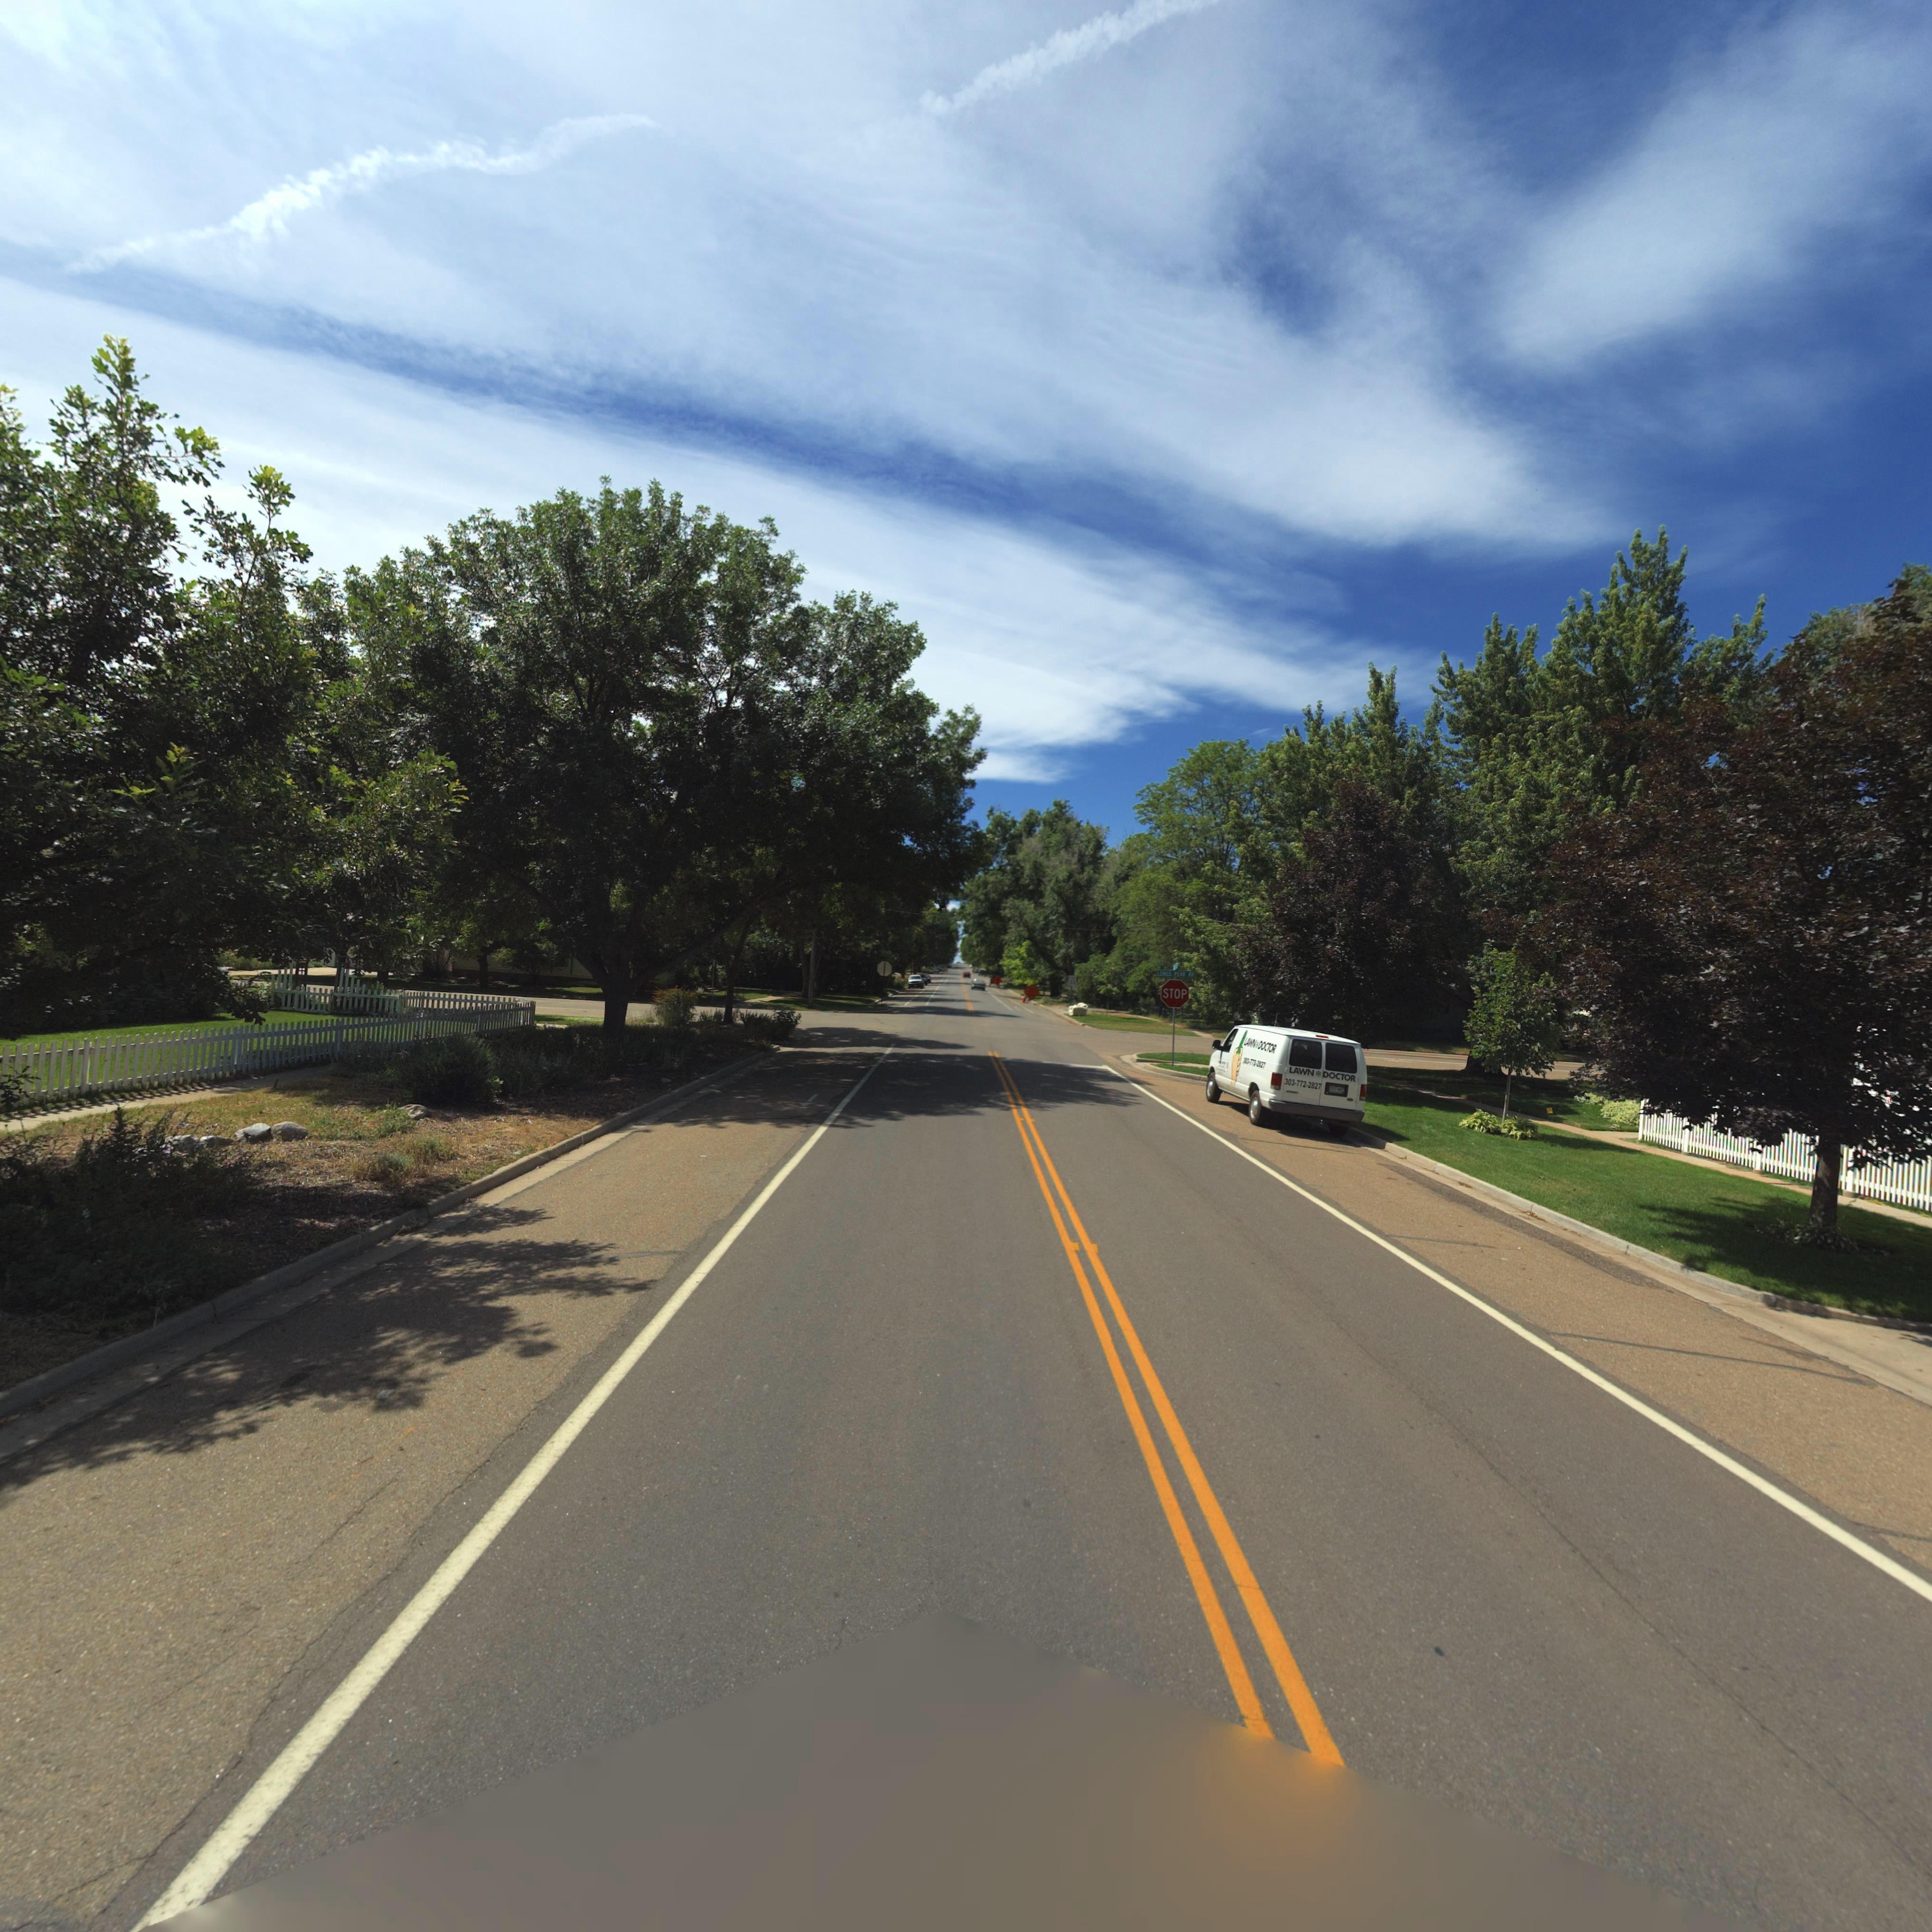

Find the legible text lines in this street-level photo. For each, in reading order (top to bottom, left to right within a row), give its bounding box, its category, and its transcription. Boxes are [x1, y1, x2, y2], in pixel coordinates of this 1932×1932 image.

[1156, 970, 1194, 977] StreetName: LONGS PEAK AV